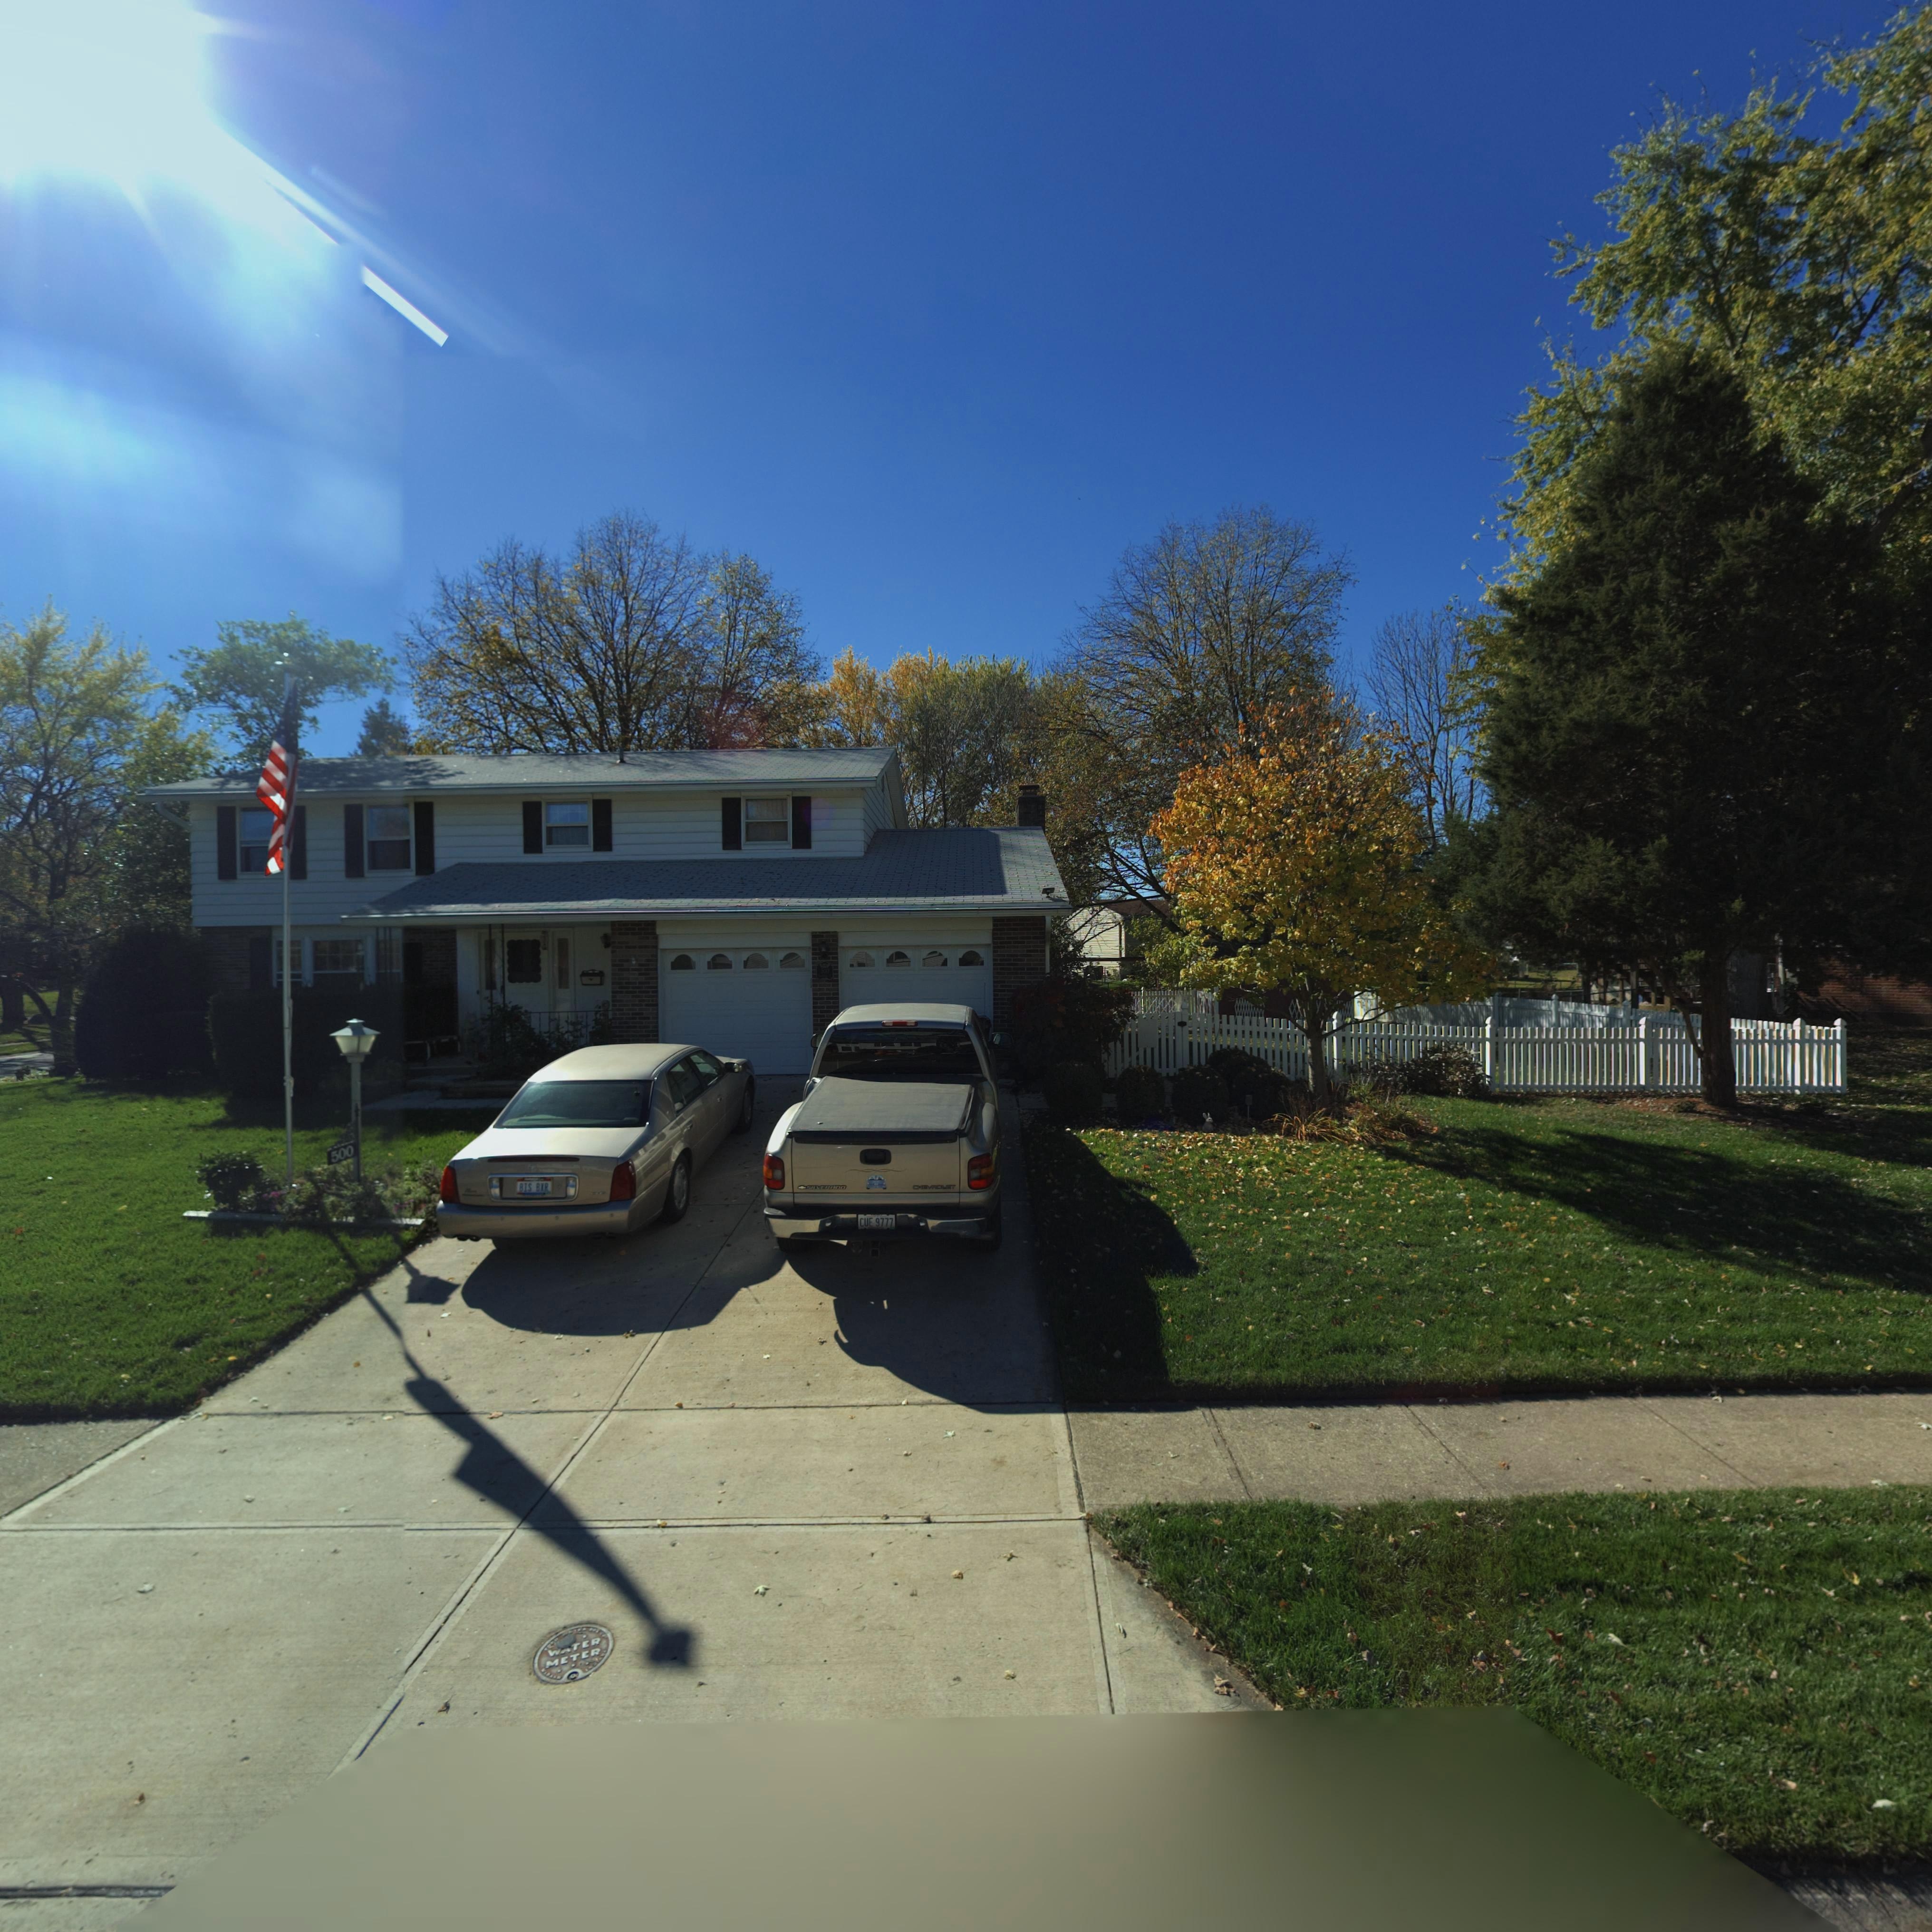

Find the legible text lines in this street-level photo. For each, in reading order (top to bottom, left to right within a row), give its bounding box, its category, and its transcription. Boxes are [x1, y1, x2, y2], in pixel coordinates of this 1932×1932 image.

[330, 1144, 355, 1164] StreetNumber: 500